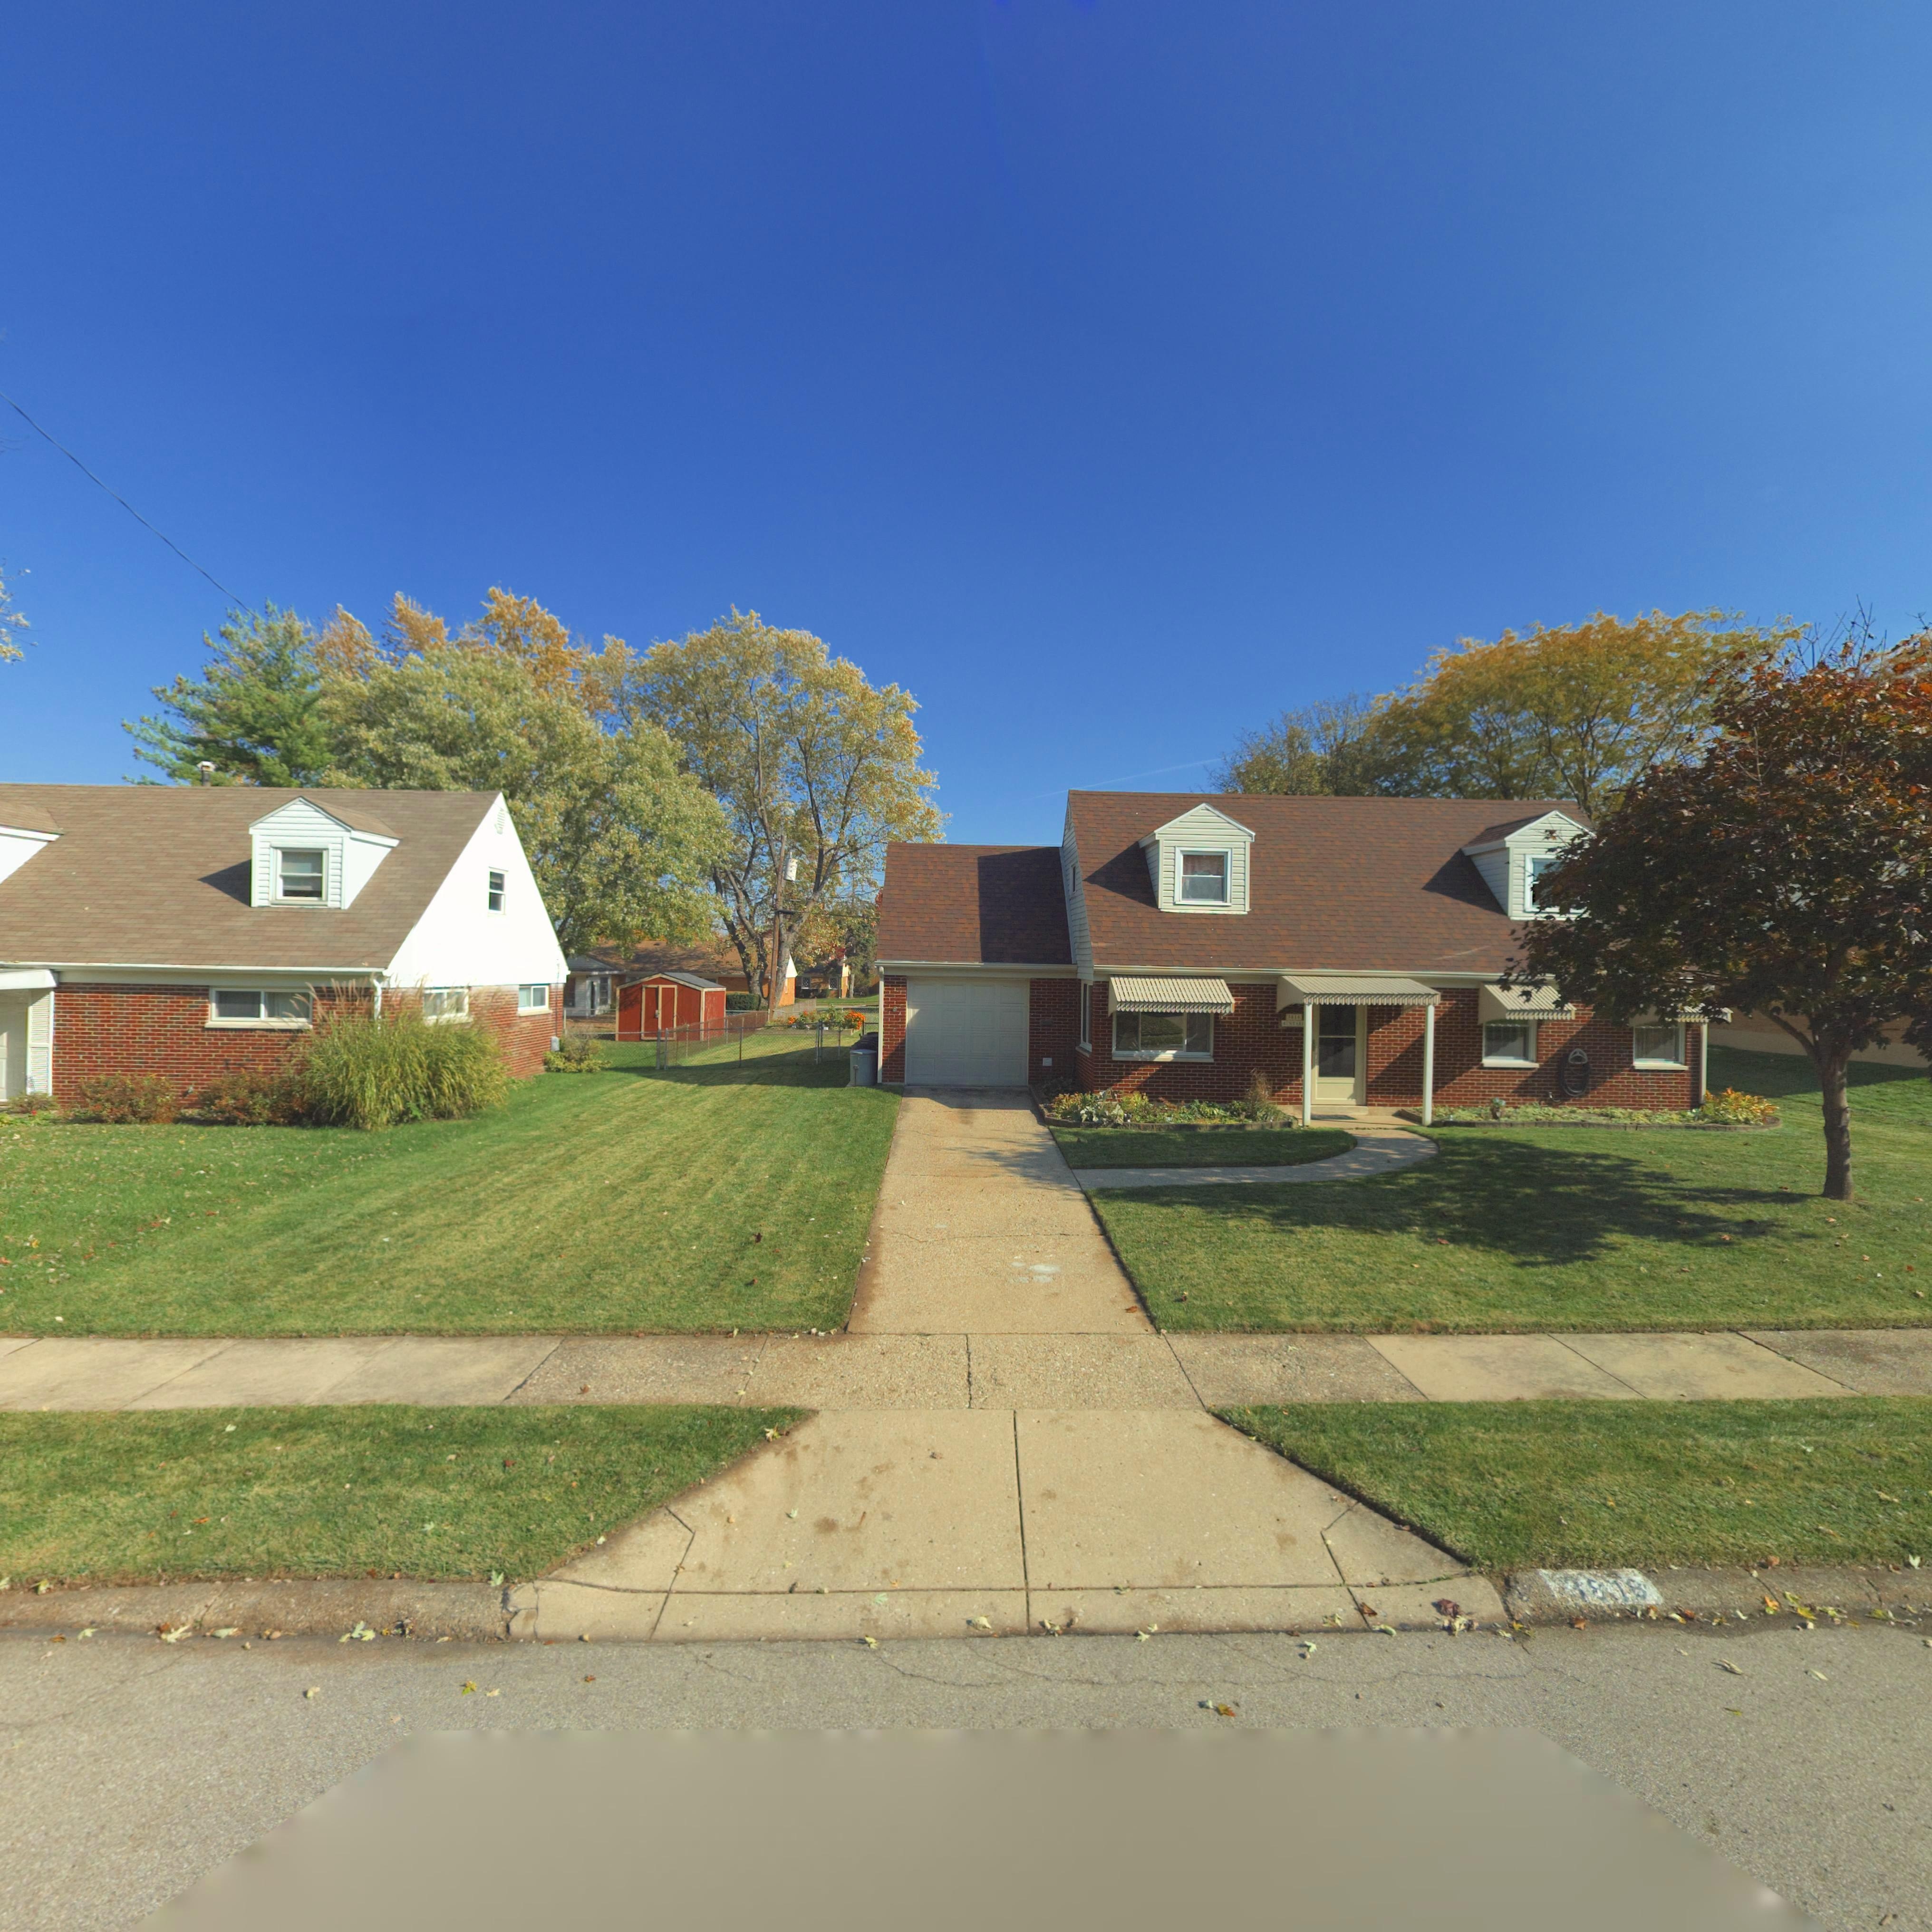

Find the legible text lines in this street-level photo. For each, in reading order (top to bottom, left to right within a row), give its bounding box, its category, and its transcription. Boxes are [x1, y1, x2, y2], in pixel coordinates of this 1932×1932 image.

[1287, 1014, 1302, 1021] StreetNumber: **1*
[1565, 1576, 1650, 1605] StreetNumber: *818